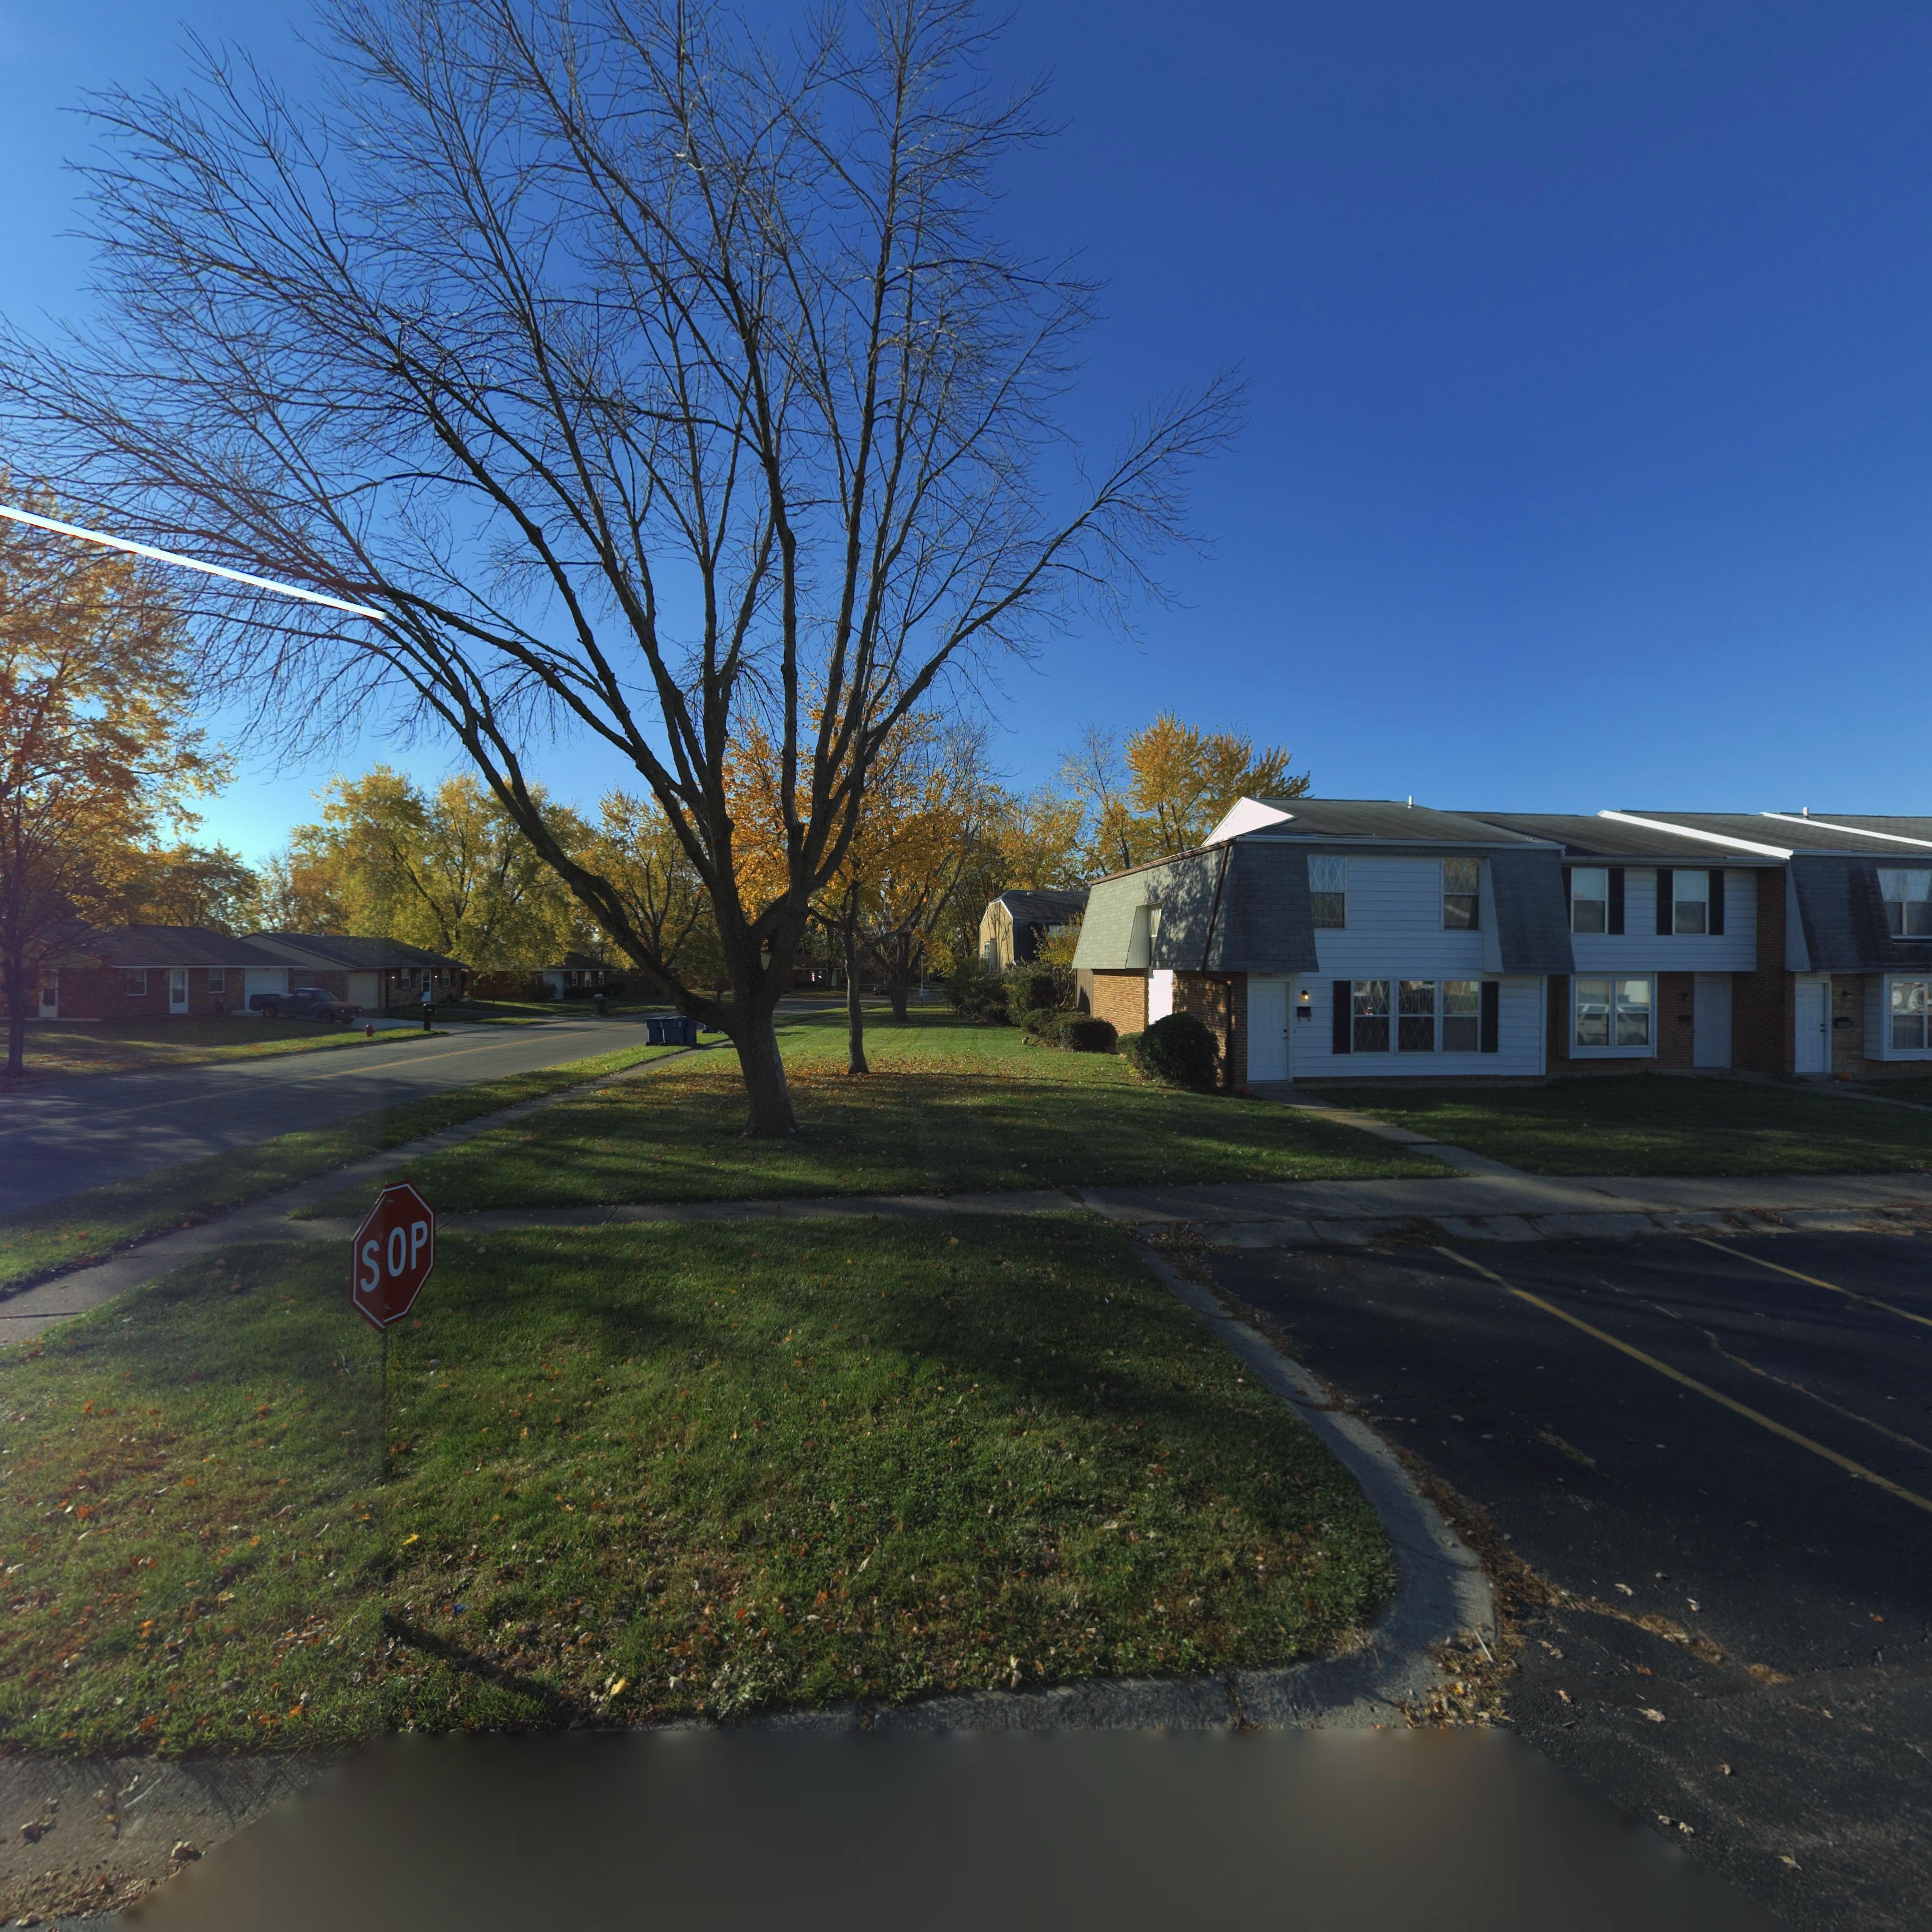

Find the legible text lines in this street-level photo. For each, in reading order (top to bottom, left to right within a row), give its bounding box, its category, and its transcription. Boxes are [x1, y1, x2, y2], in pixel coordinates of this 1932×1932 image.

[1257, 972, 1272, 978] StreetNumber: 7729
[1701, 972, 1717, 979] StreetNumber: 7*31
[1802, 973, 1817, 979] StreetNumber: 7733